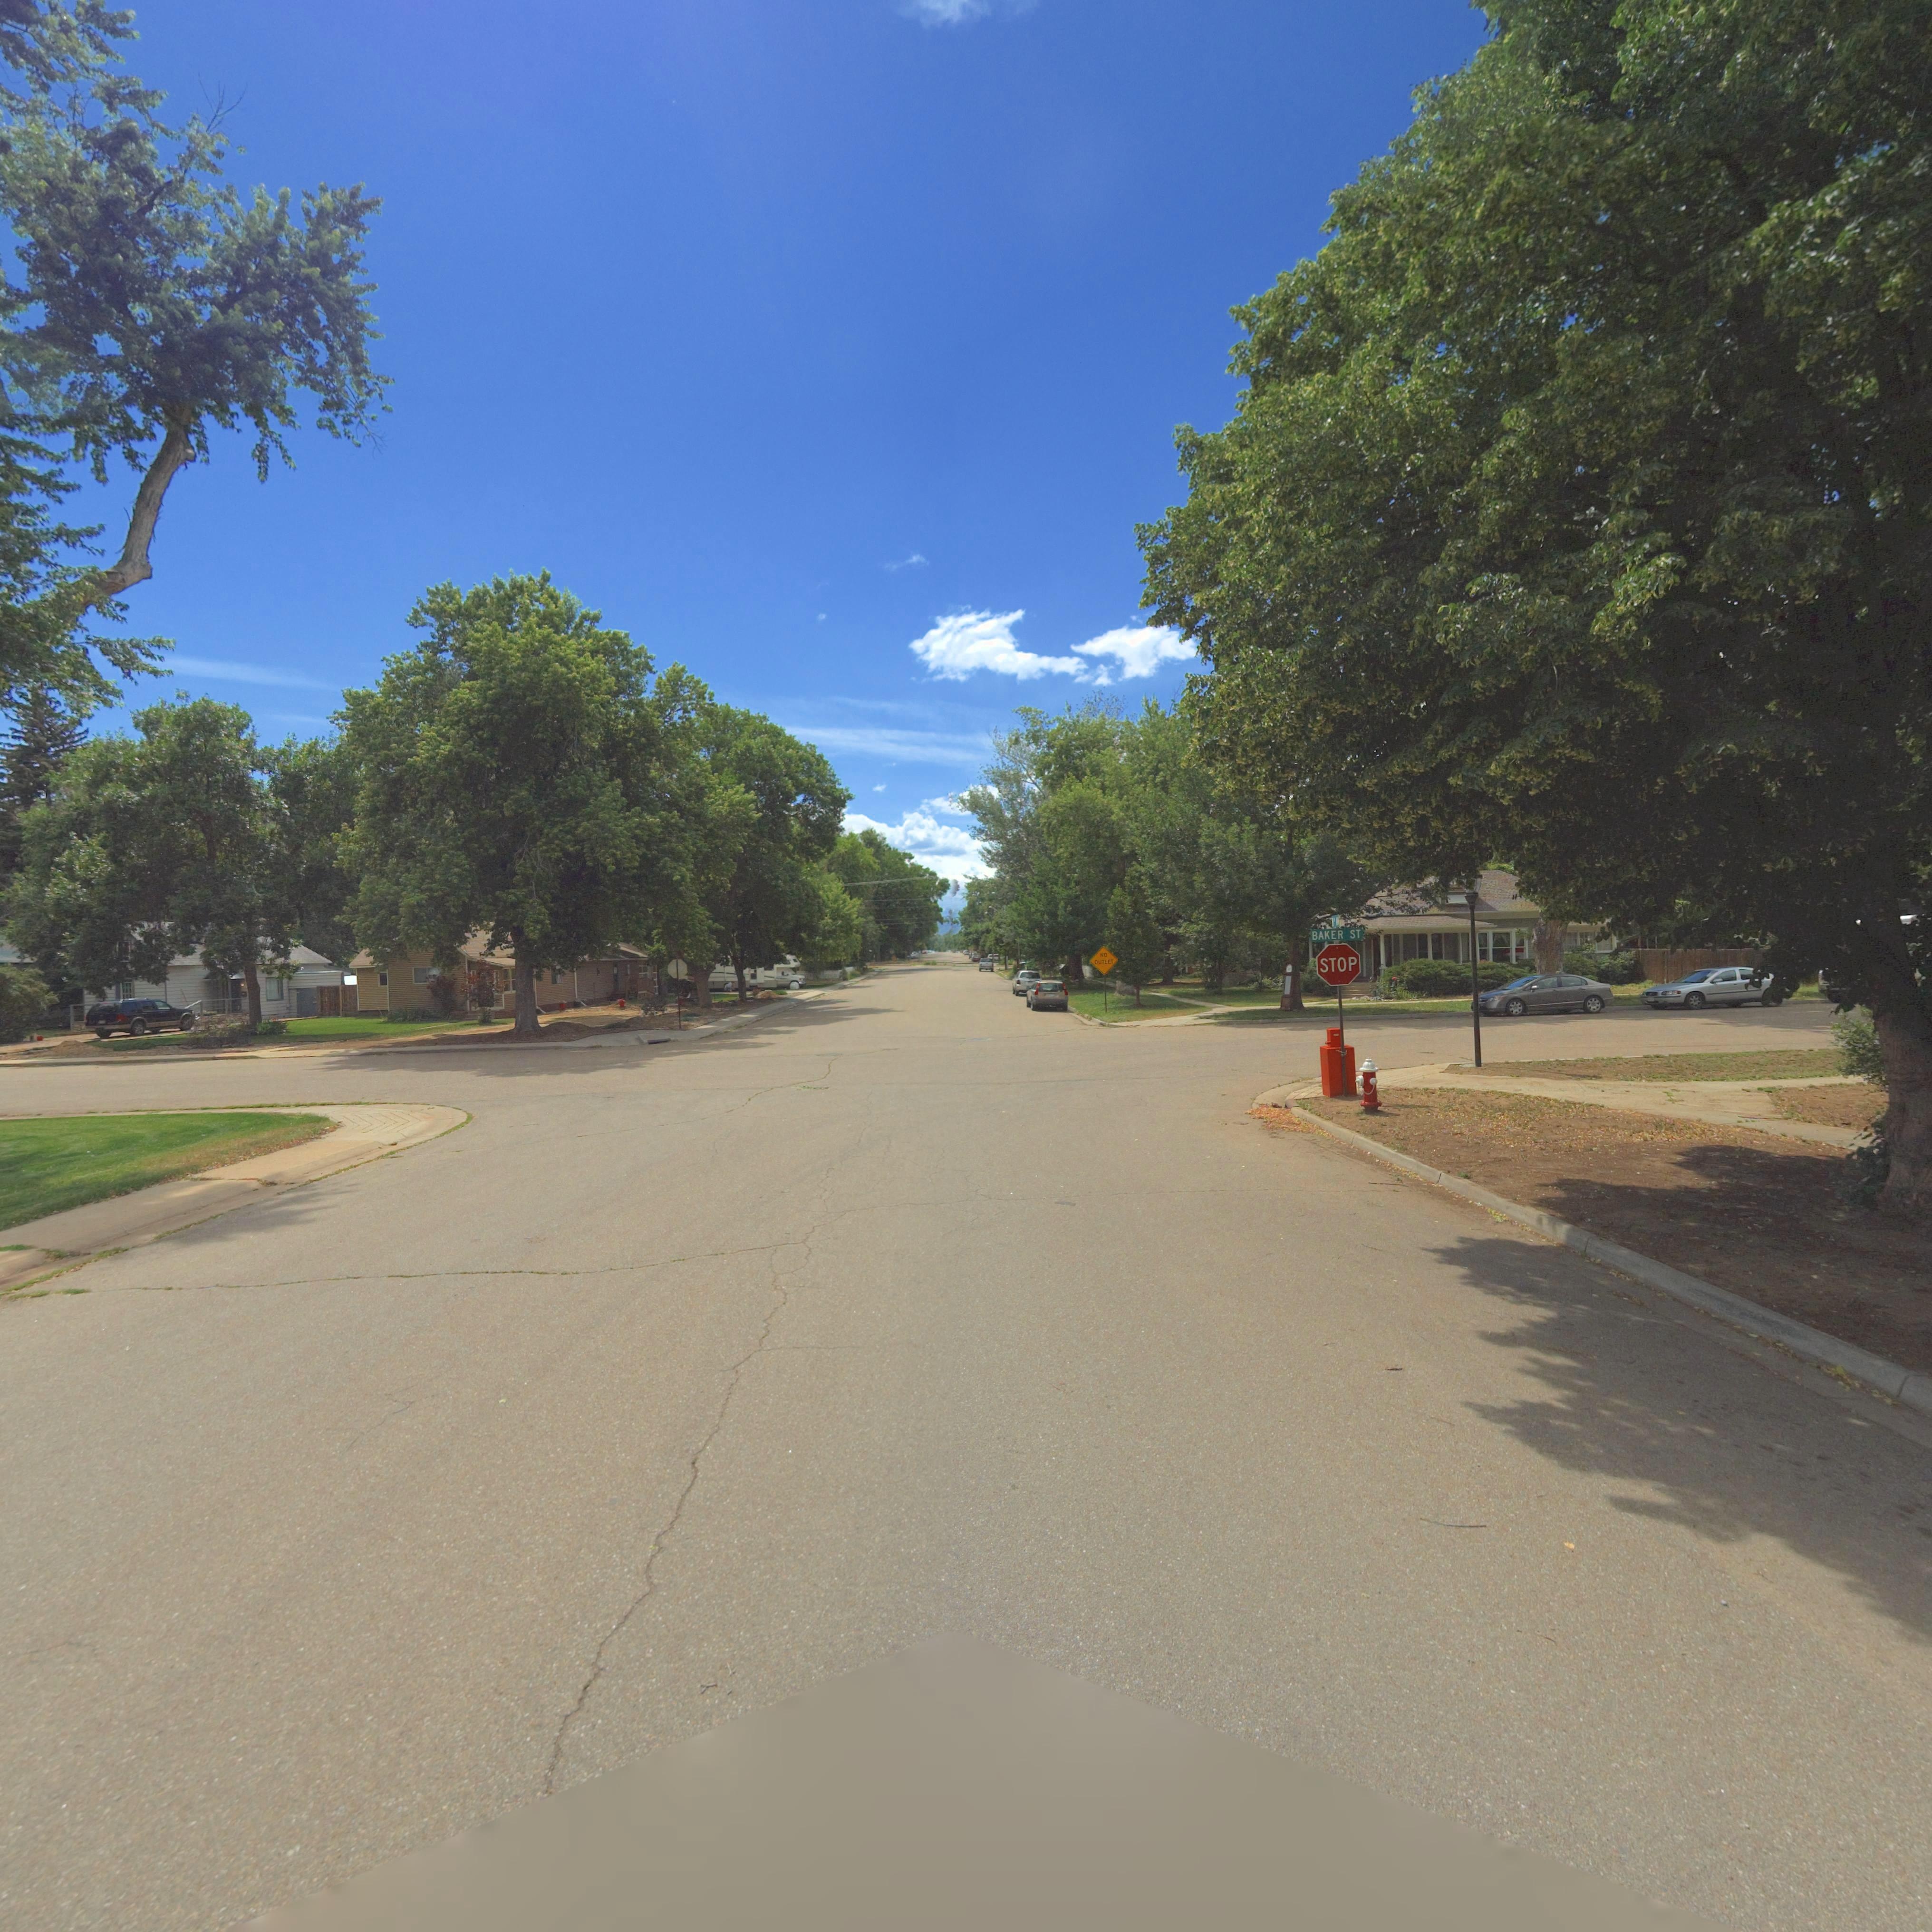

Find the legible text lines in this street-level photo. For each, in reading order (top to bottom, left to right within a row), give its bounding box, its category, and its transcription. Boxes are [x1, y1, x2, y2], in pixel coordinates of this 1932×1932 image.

[1312, 929, 1361, 940] BusinessName: BAKER ST